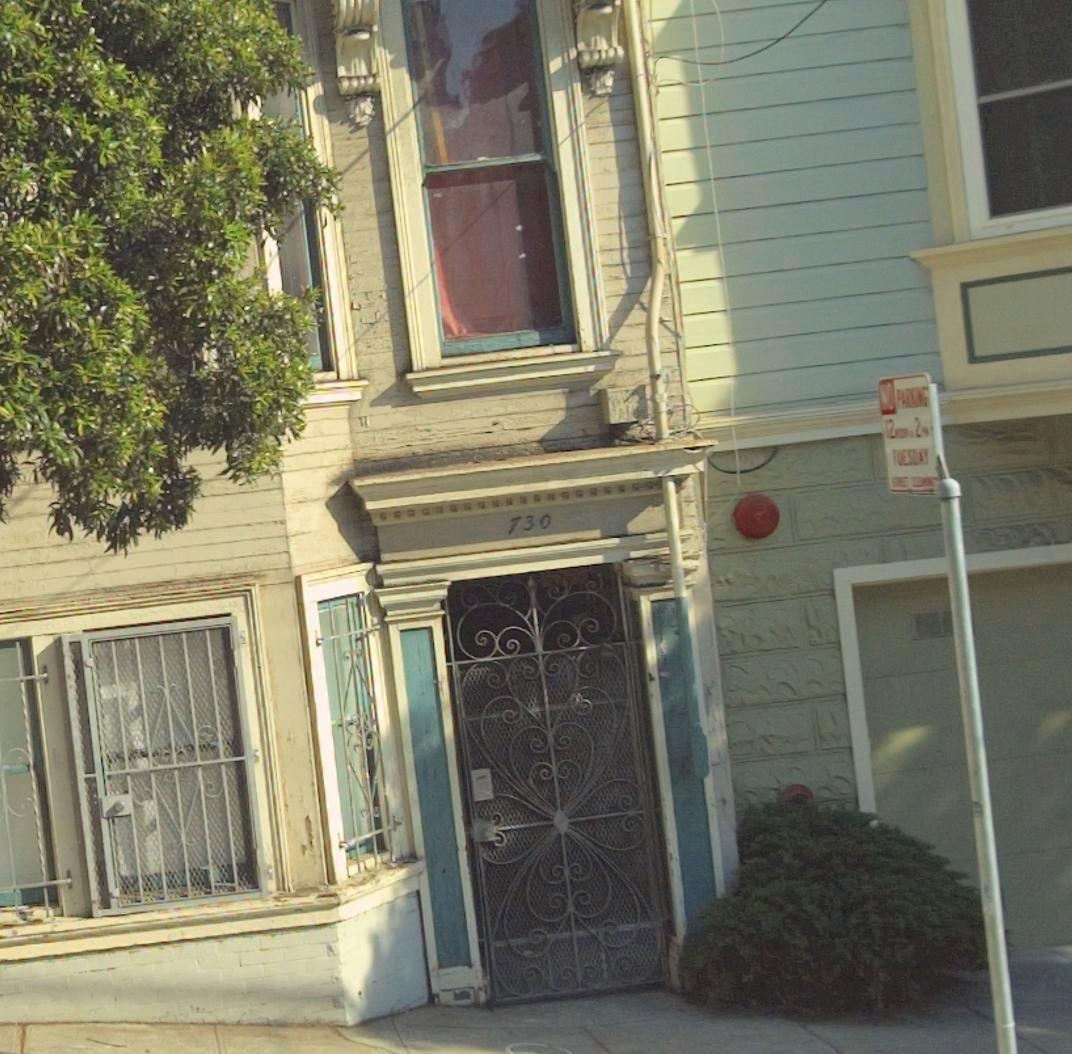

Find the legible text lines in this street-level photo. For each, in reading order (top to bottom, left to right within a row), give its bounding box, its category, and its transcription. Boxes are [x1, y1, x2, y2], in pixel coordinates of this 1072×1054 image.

[876, 378, 930, 414] None: NO PARKING
[880, 415, 933, 440] None: 12NOON * 2PM
[890, 446, 933, 468] None: TUESDAY
[505, 511, 552, 538] StreetNumber: 730